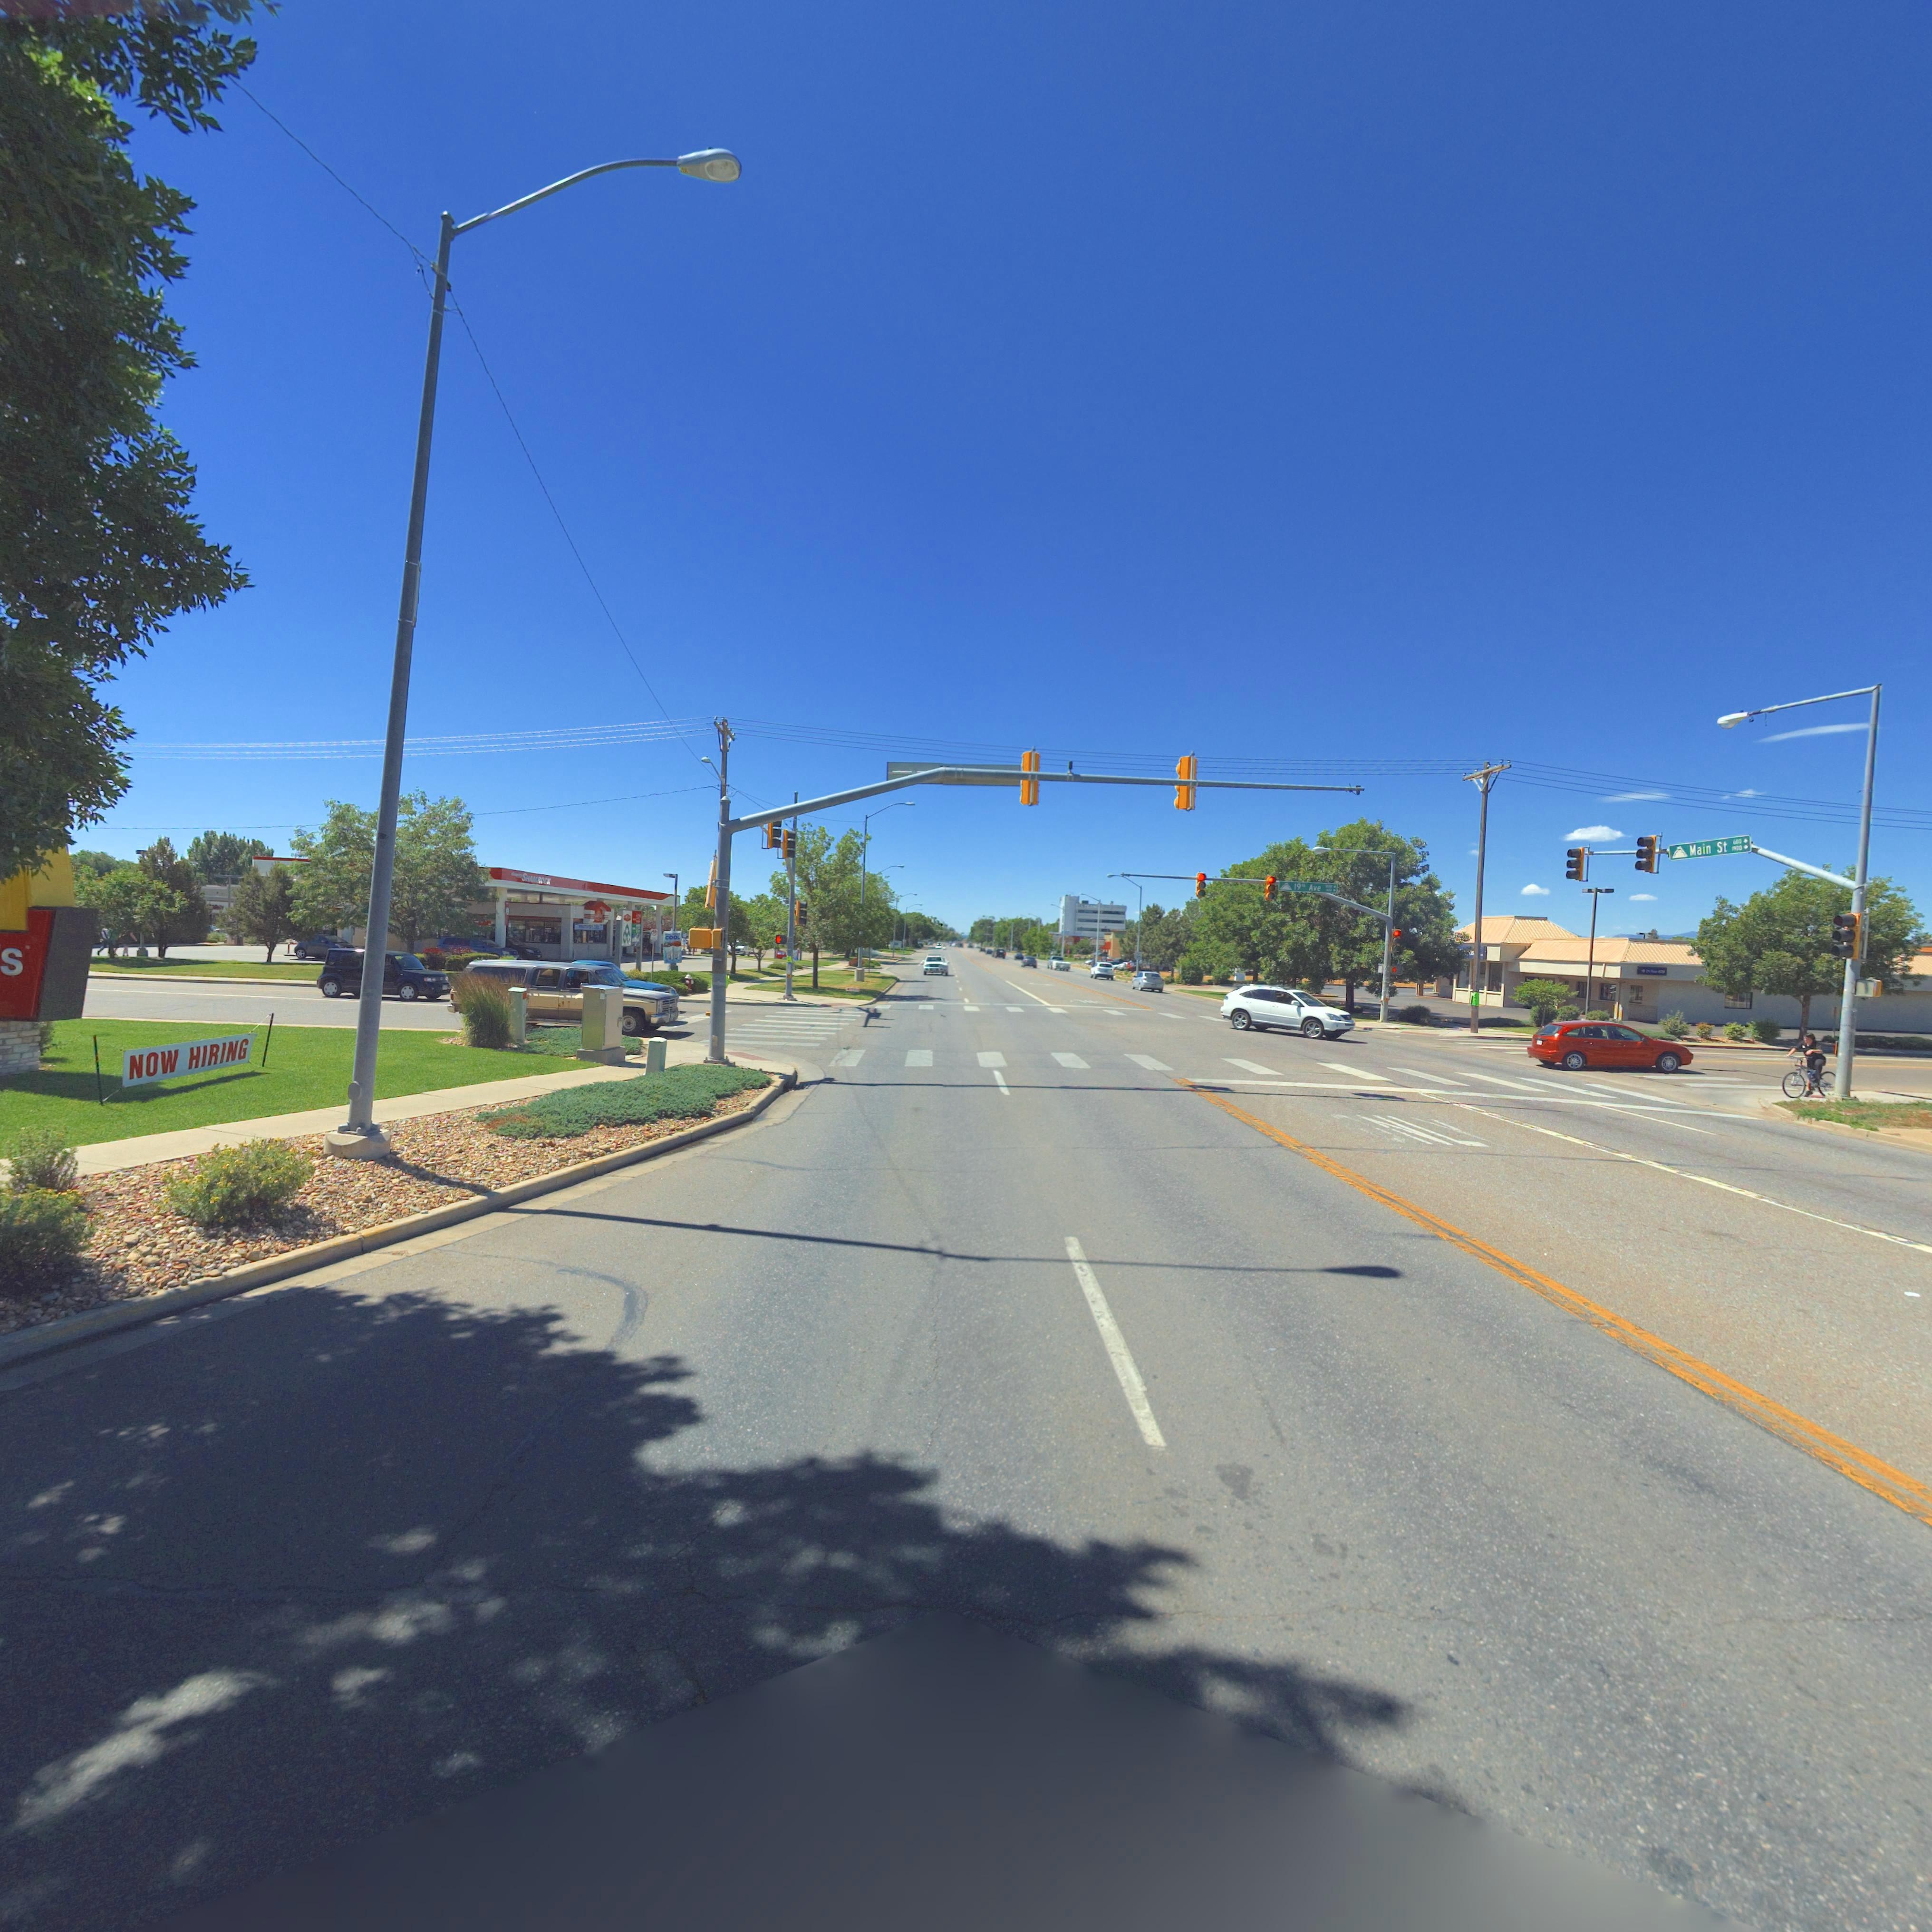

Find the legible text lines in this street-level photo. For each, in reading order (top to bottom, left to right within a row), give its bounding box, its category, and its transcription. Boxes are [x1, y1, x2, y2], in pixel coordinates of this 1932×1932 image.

[1732, 838, 1742, 845] StreetNumberRange: 600
[1689, 840, 1728, 856] StreetName: Main St
[1731, 844, 1748, 851] StreetNumberRange: 1900->
[521, 872, 551, 885] BusinessName: SHAMROCK
[1294, 882, 1321, 891] StreetName: 19th Ave
[1325, 888, 1336, 892] StreetNumberRange: **0->